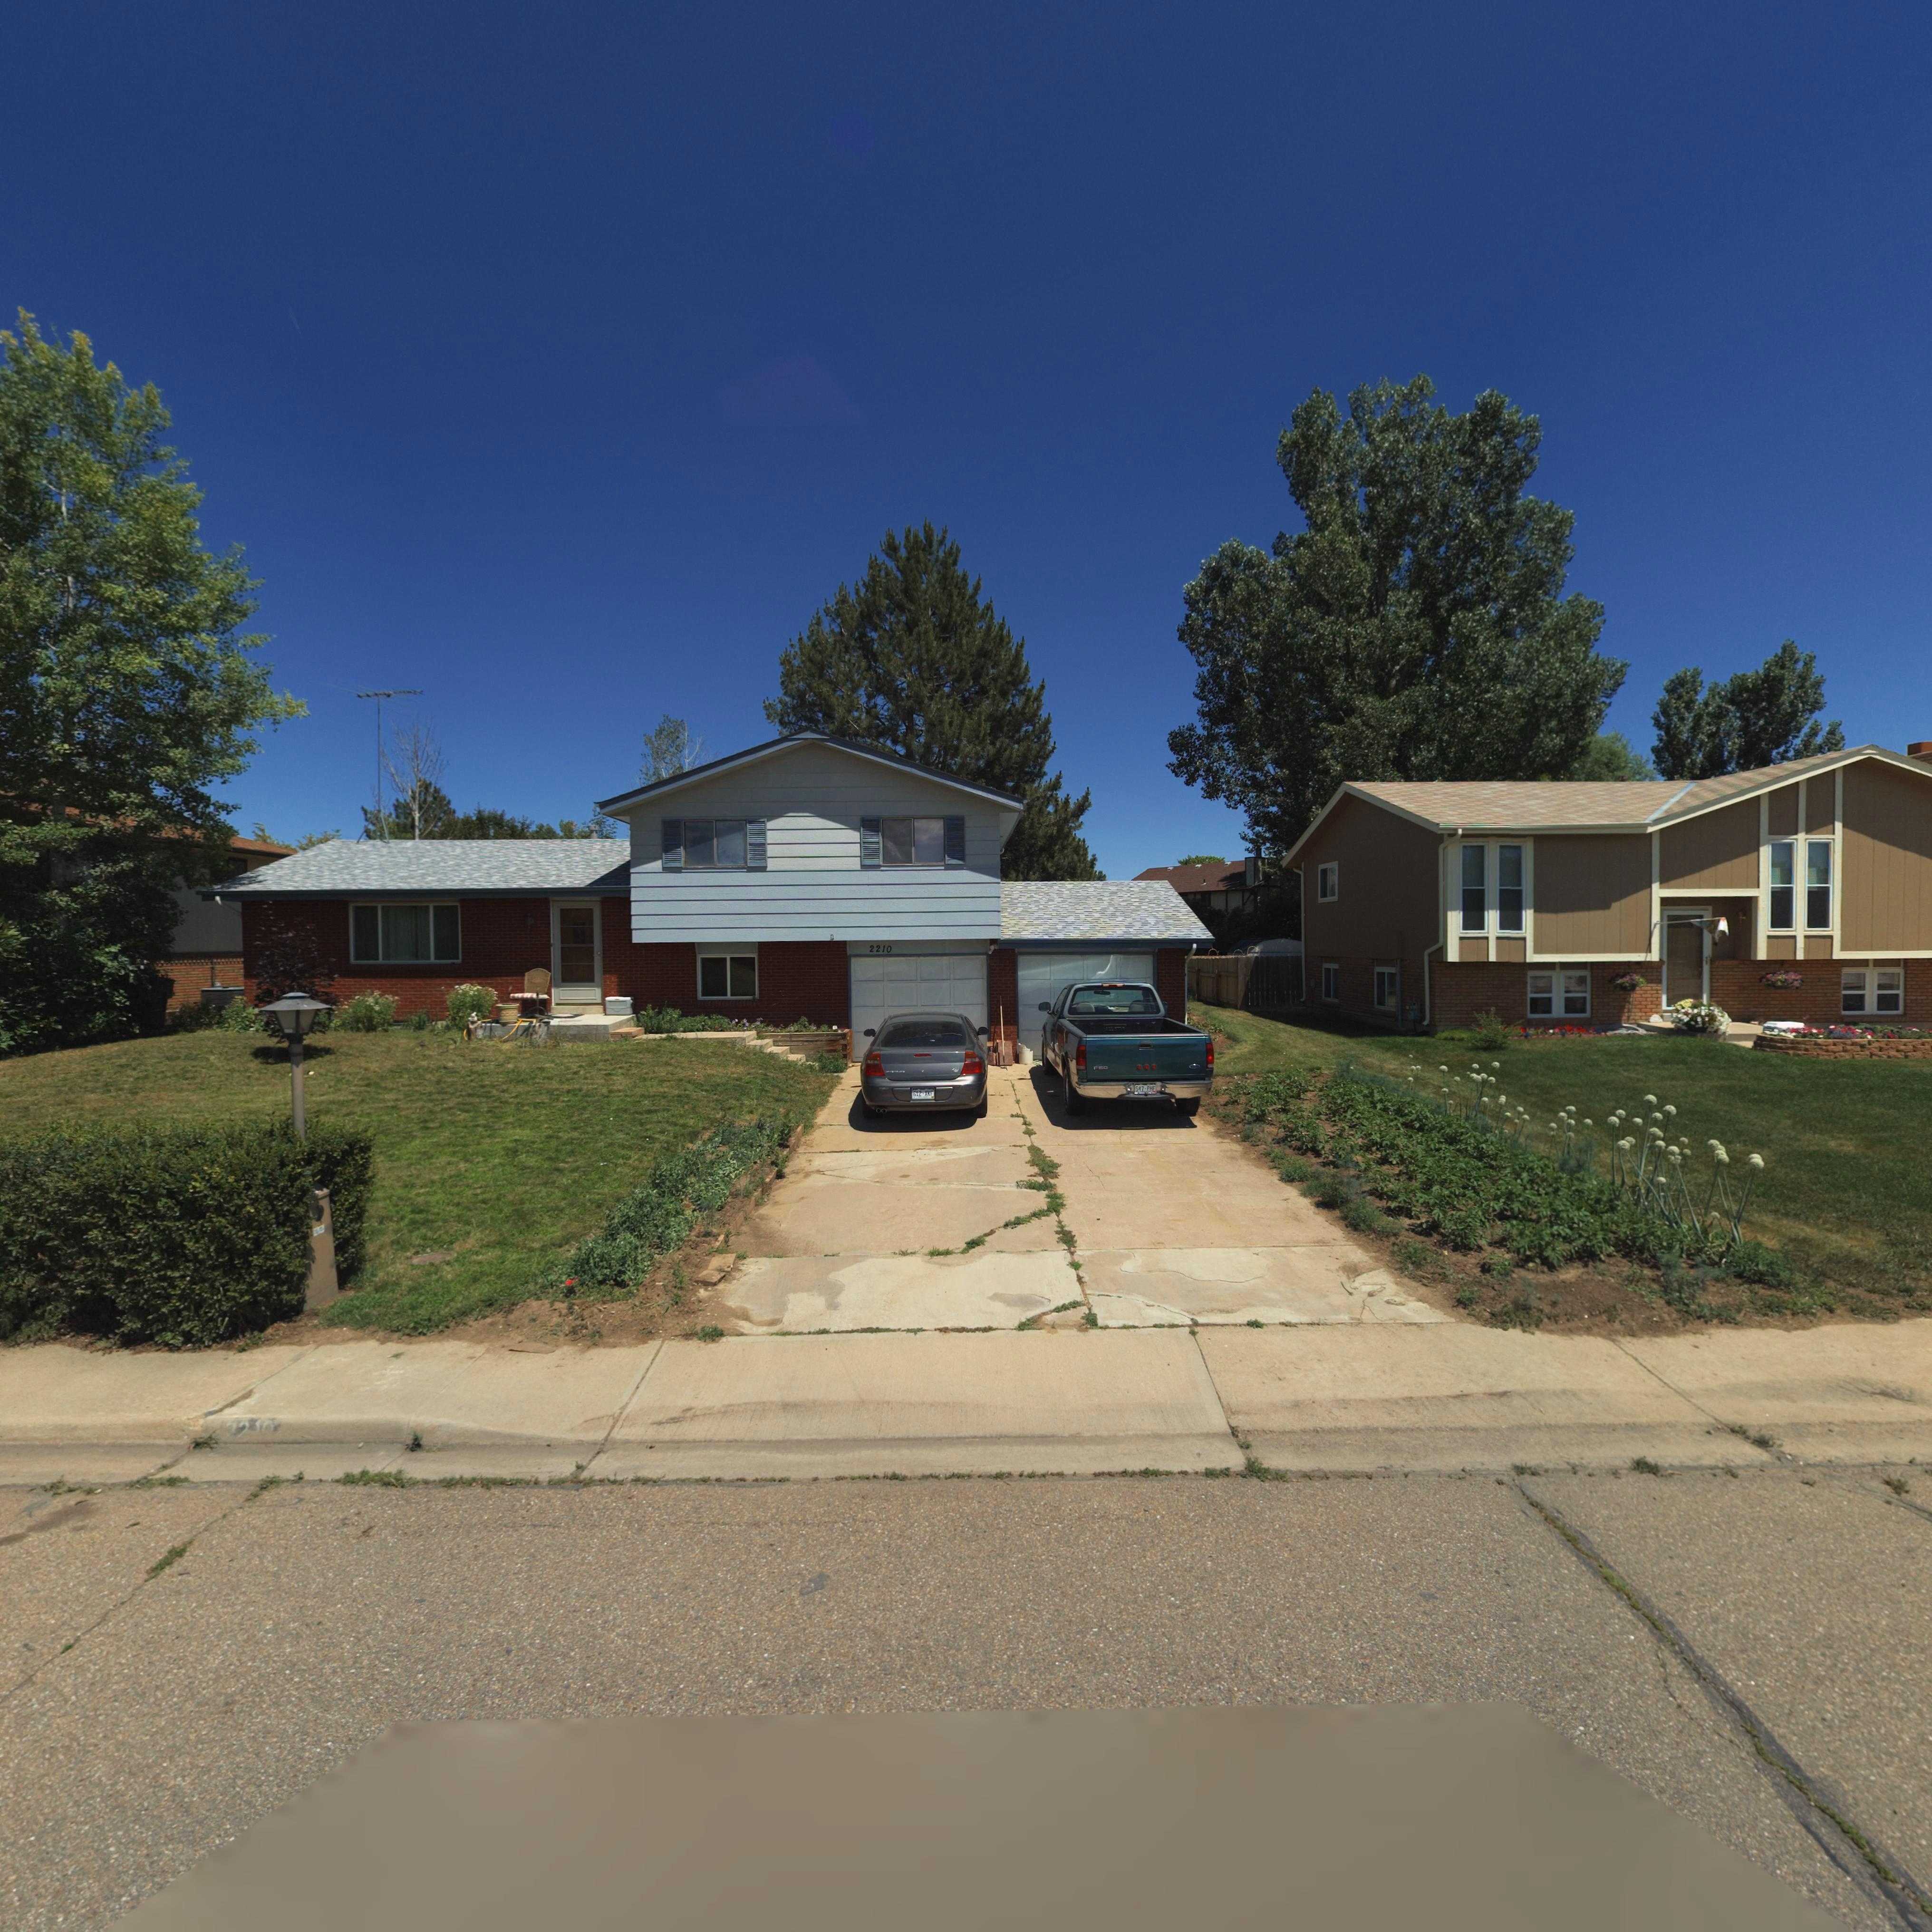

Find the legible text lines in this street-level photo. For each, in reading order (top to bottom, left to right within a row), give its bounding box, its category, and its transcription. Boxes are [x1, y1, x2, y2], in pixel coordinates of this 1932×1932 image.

[869, 945, 892, 953] StreetNumber: 2210